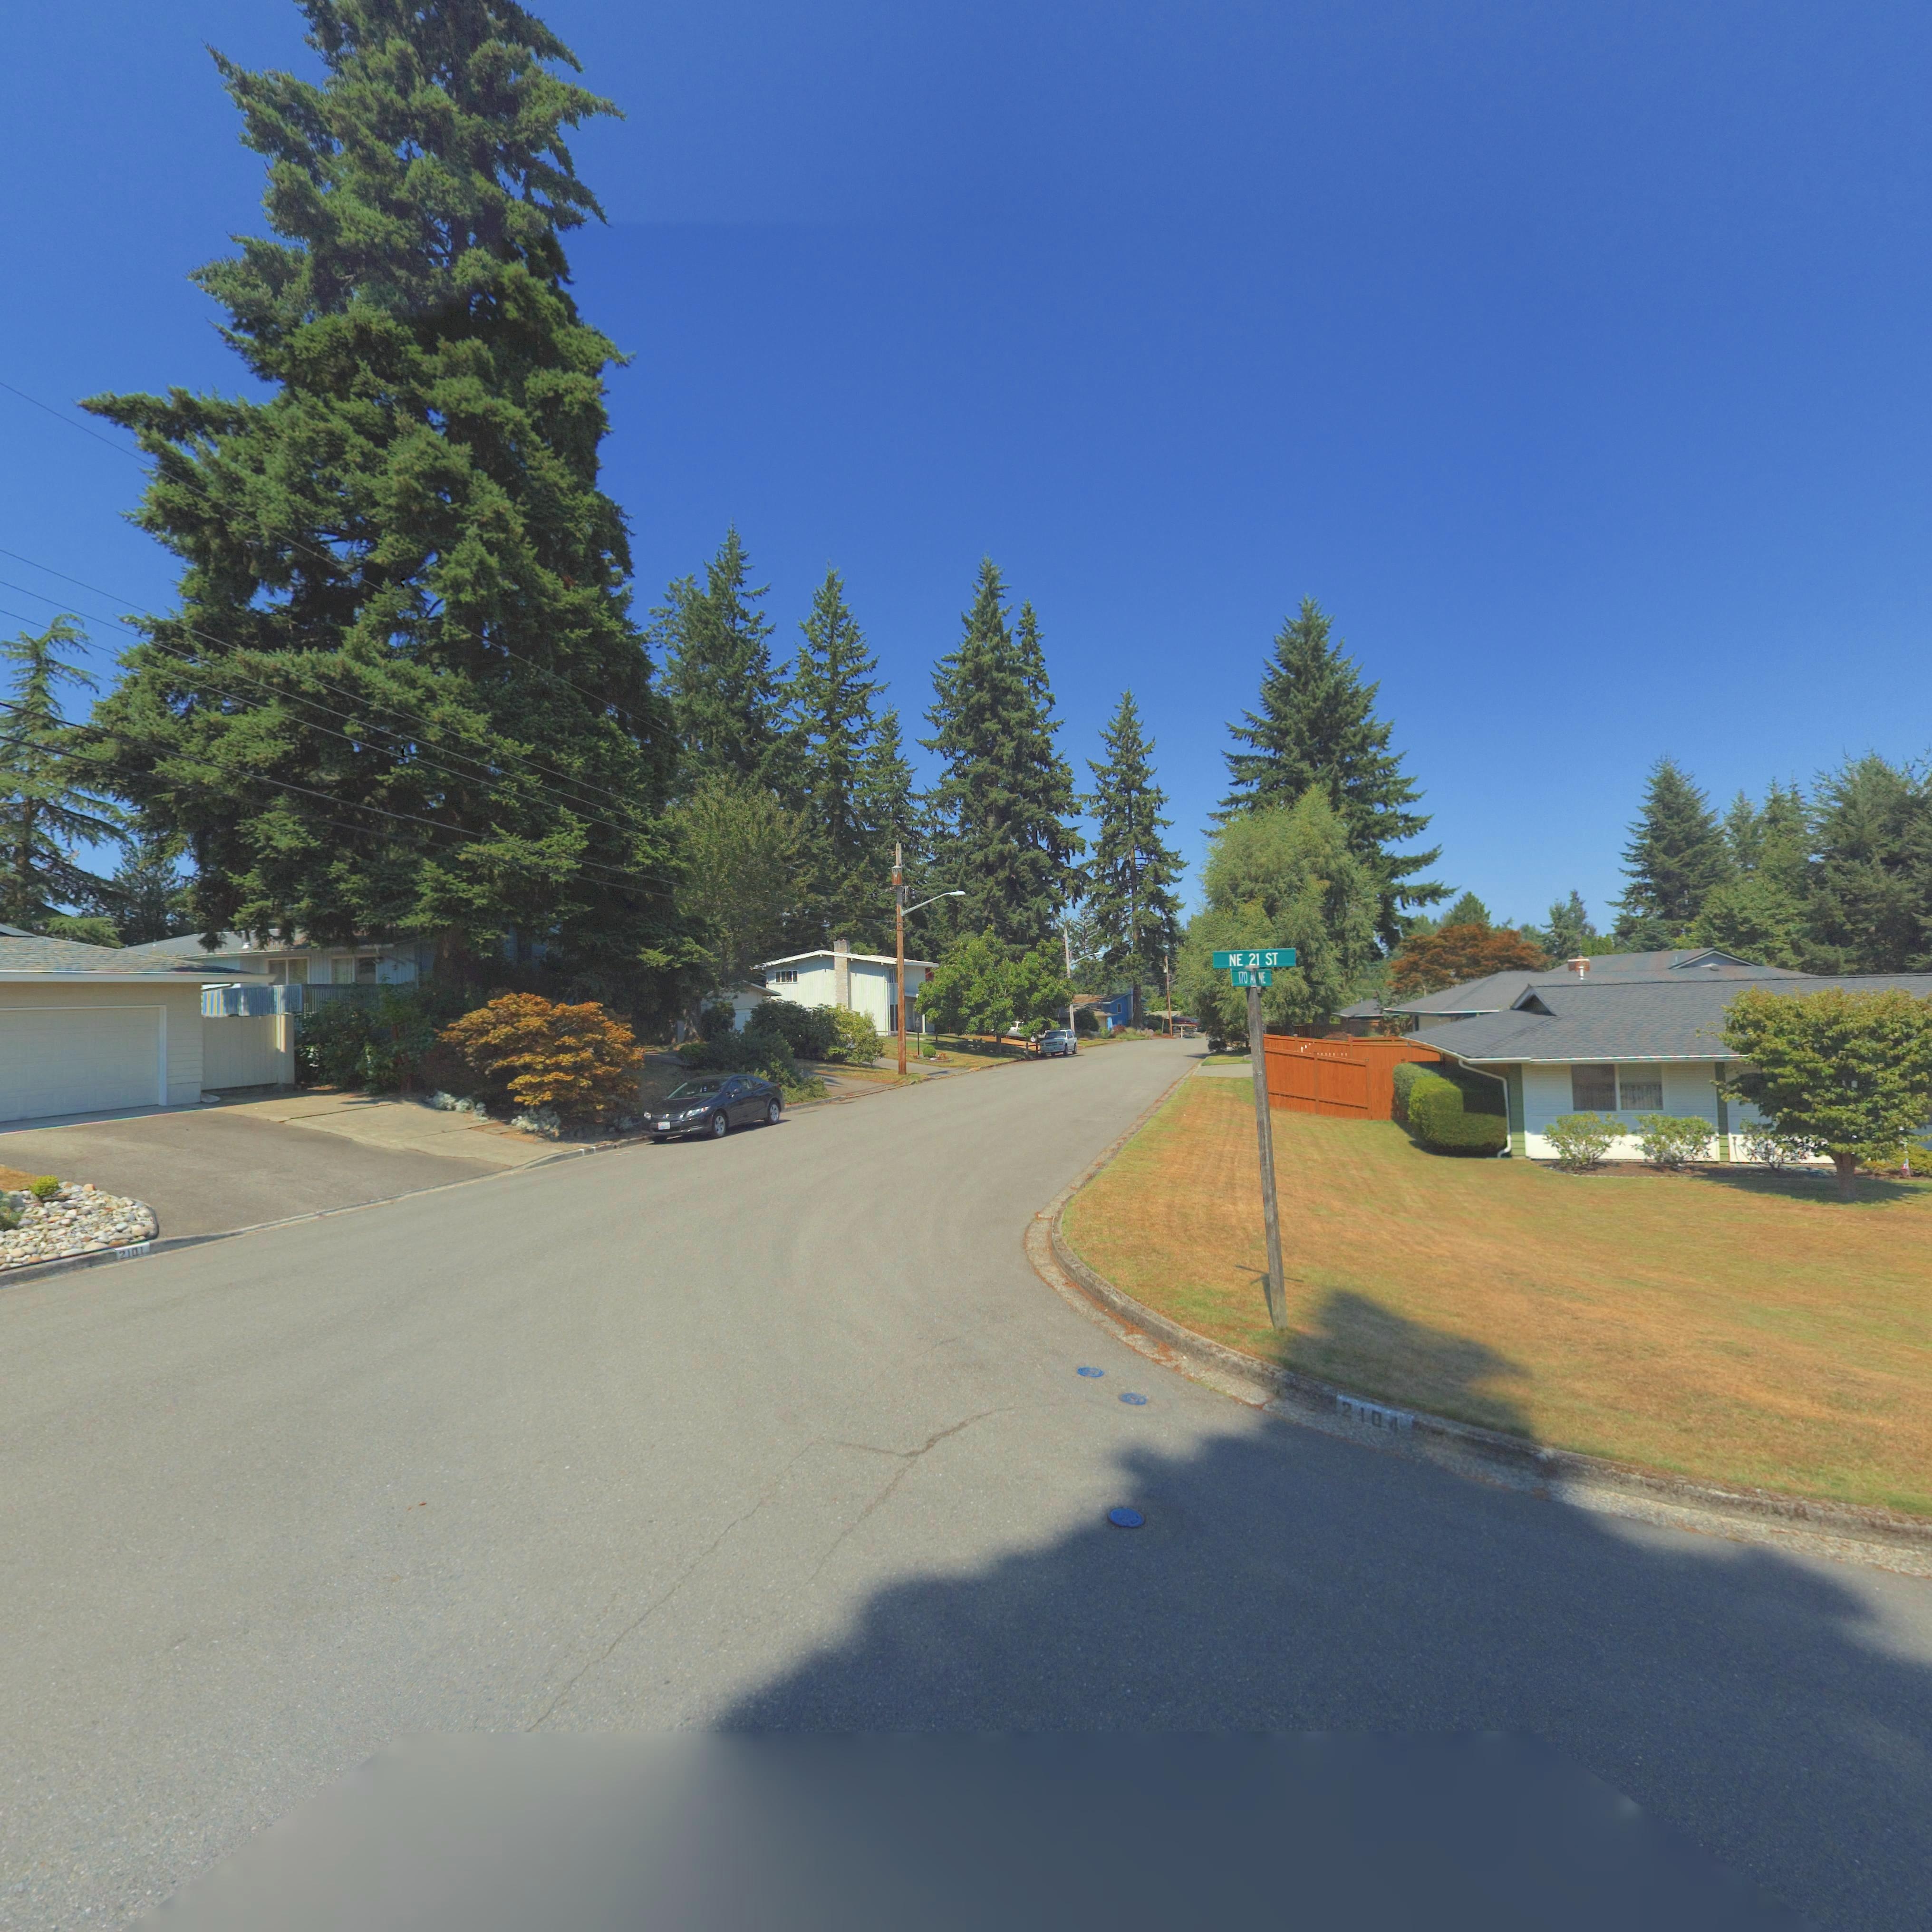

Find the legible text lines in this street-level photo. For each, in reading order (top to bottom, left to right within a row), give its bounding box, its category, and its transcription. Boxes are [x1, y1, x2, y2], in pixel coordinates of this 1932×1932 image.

[1228, 953, 1278, 966] StreetName: NE 21 ST
[1237, 971, 1266, 984] StreetName: 170 A* *E
[118, 1246, 144, 1259] StreetNumber: 2101
[1339, 1399, 1400, 1435] StreetNumber: 2*0*